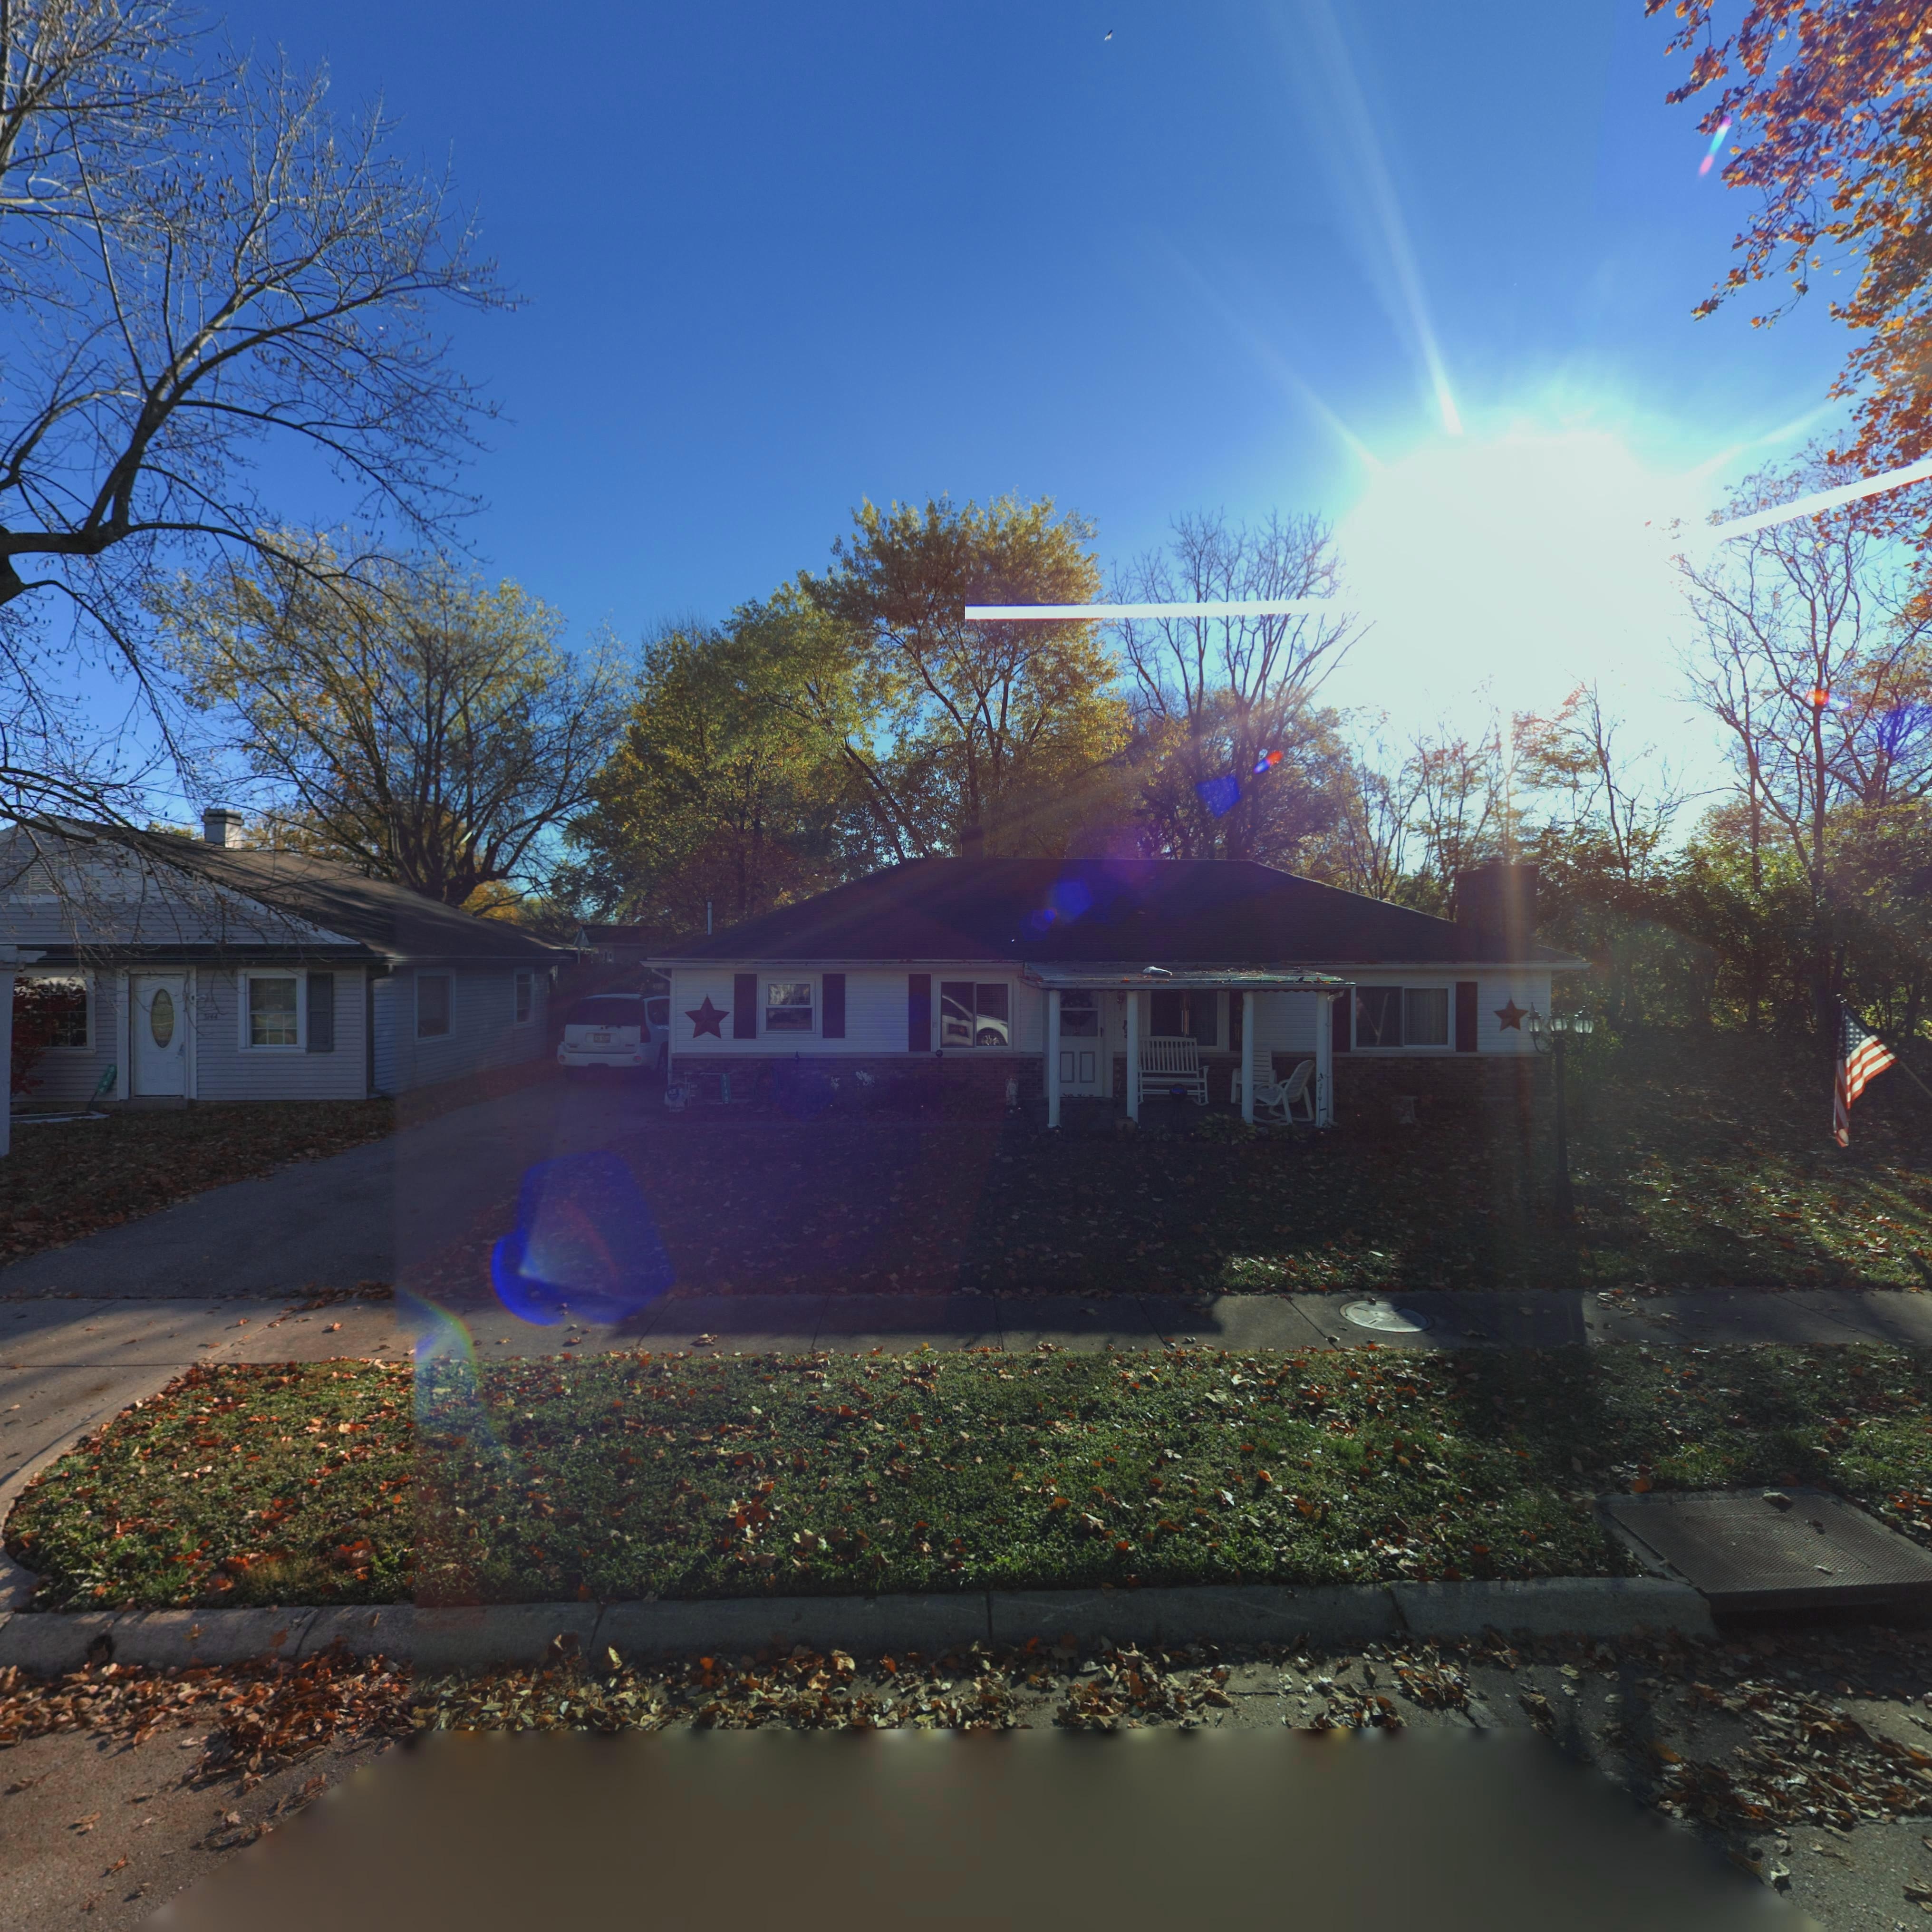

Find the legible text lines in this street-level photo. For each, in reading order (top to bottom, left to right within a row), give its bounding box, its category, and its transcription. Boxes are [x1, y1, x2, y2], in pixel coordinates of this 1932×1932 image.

[202, 1013, 219, 1021] StreetNumber: 5144
[98, 1065, 116, 1093] StreetNumber: 5144
[722, 1073, 729, 1101] StreetNumber: 5148